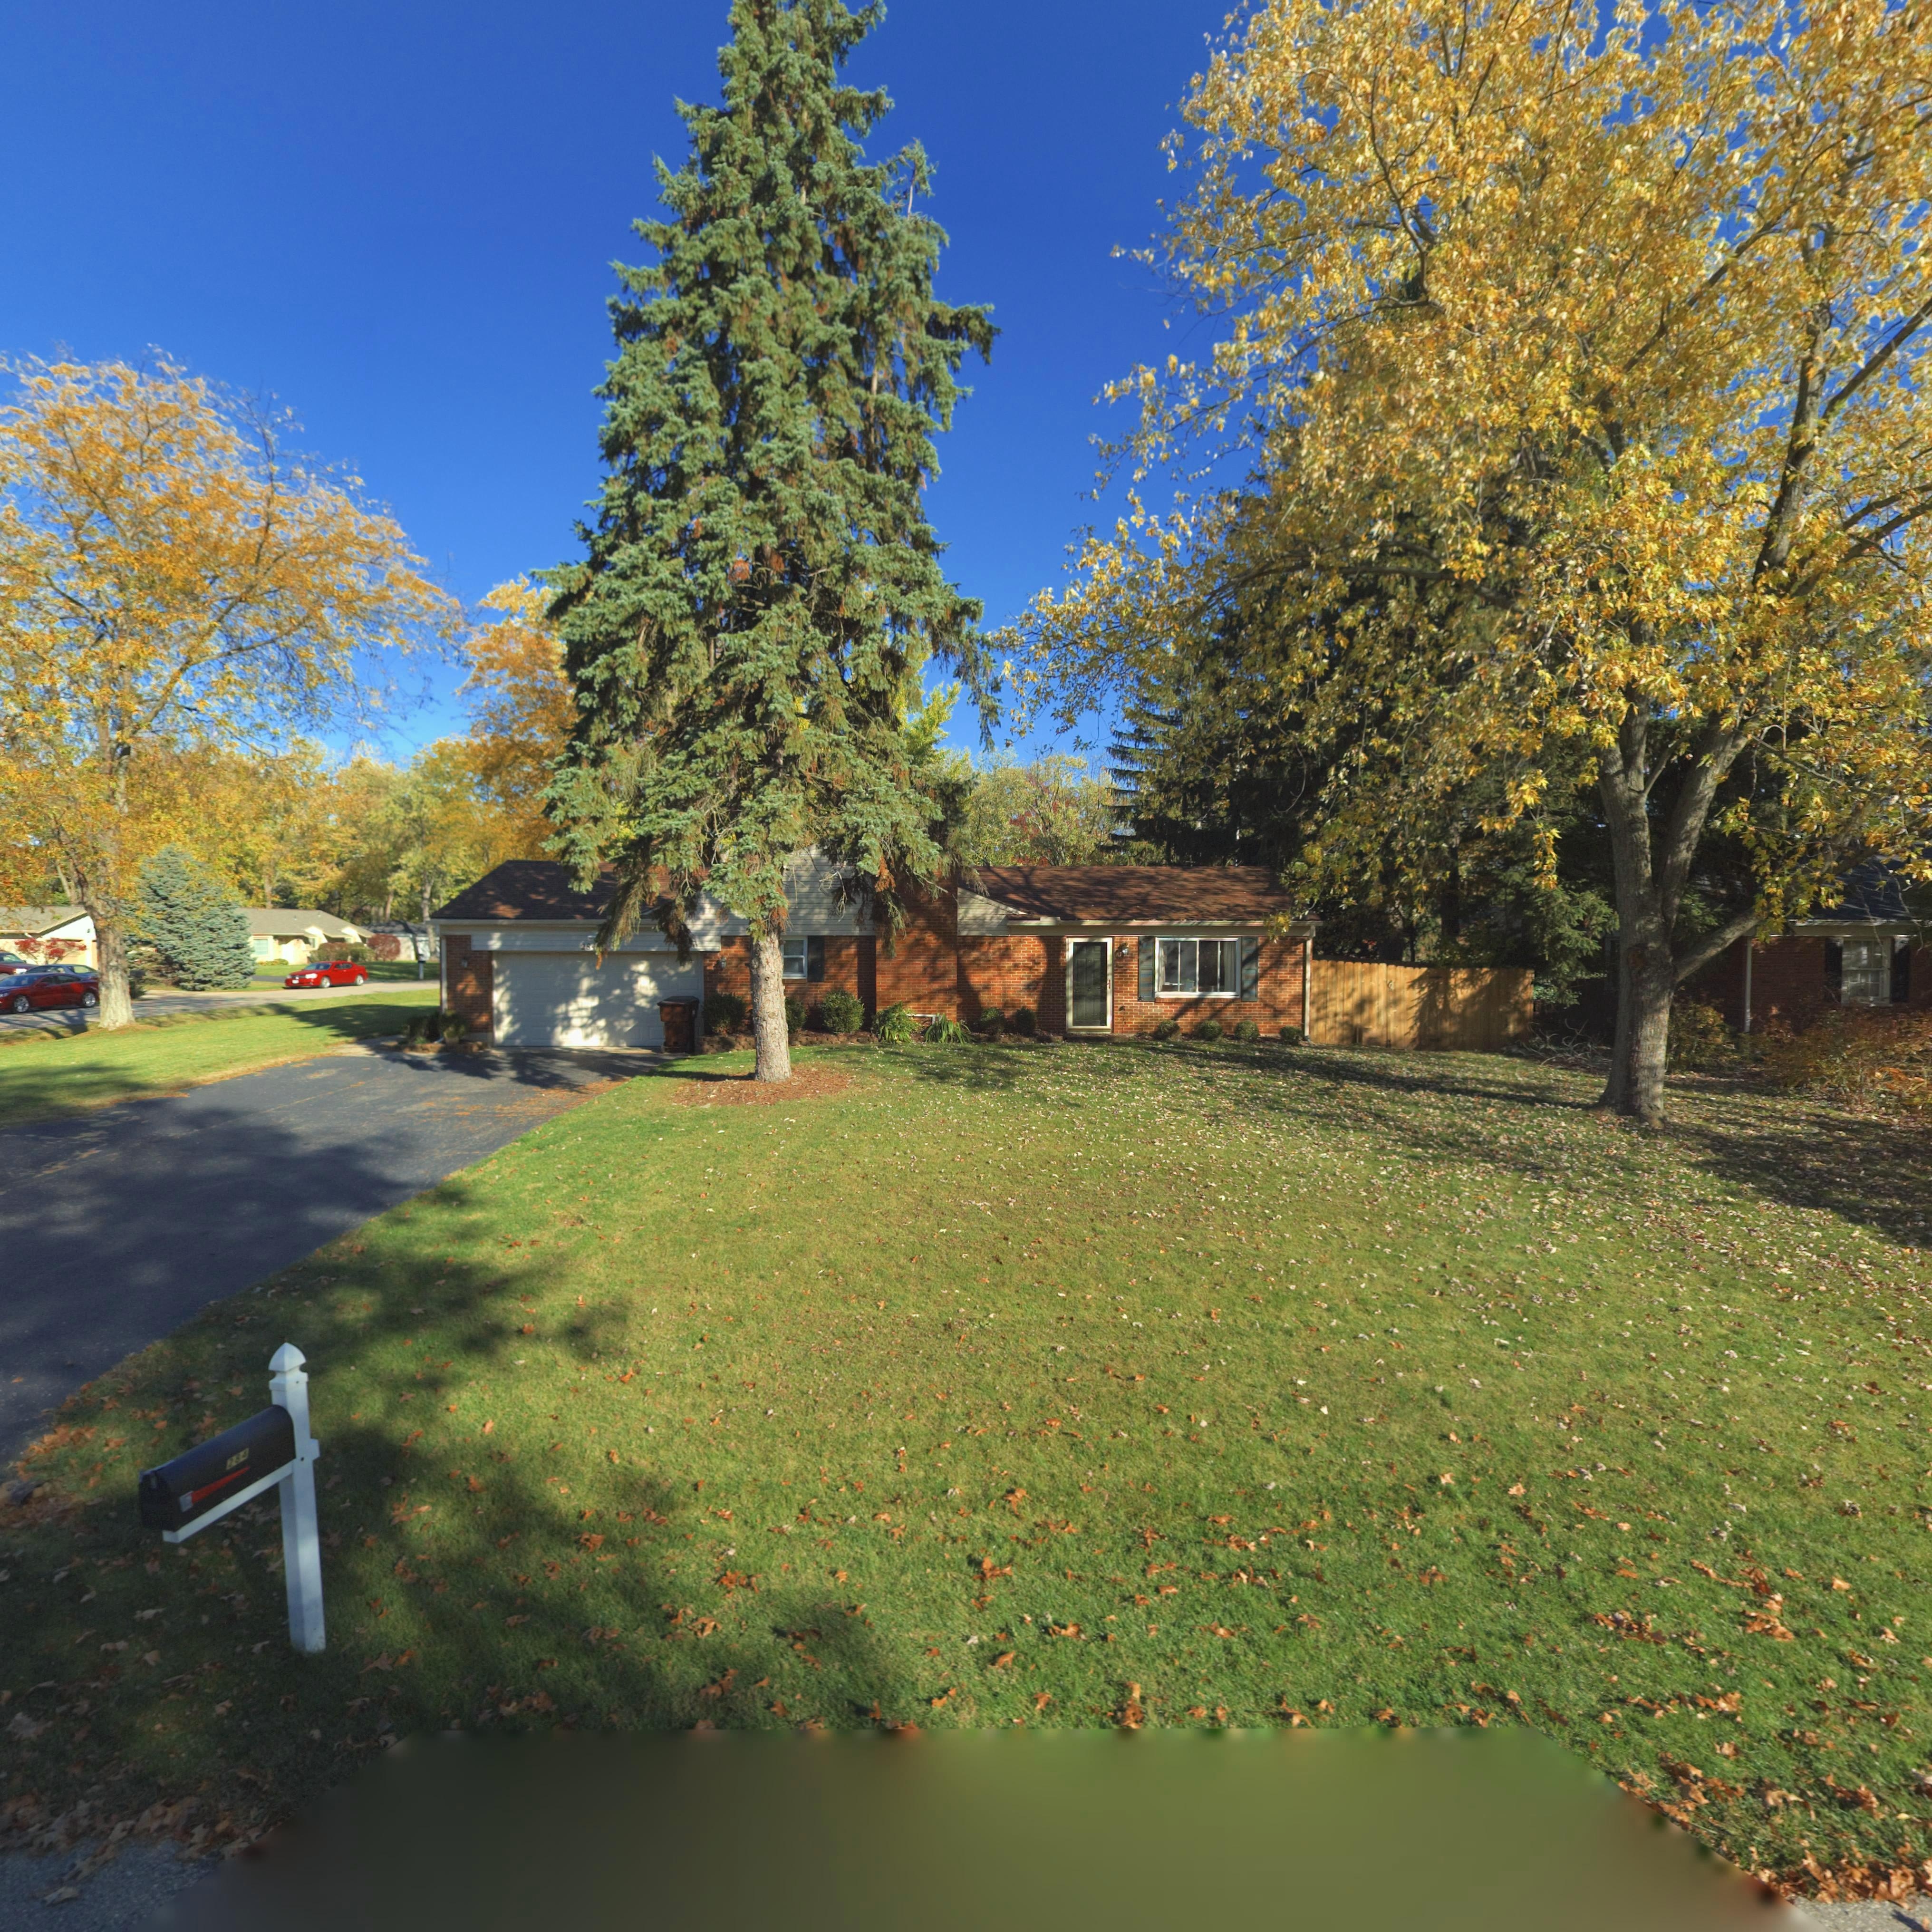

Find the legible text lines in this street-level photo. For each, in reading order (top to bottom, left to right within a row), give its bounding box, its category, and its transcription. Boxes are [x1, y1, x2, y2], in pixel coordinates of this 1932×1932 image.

[580, 942, 598, 951] StreetNumber: 284
[227, 1449, 248, 1470] StreetNumber: 284